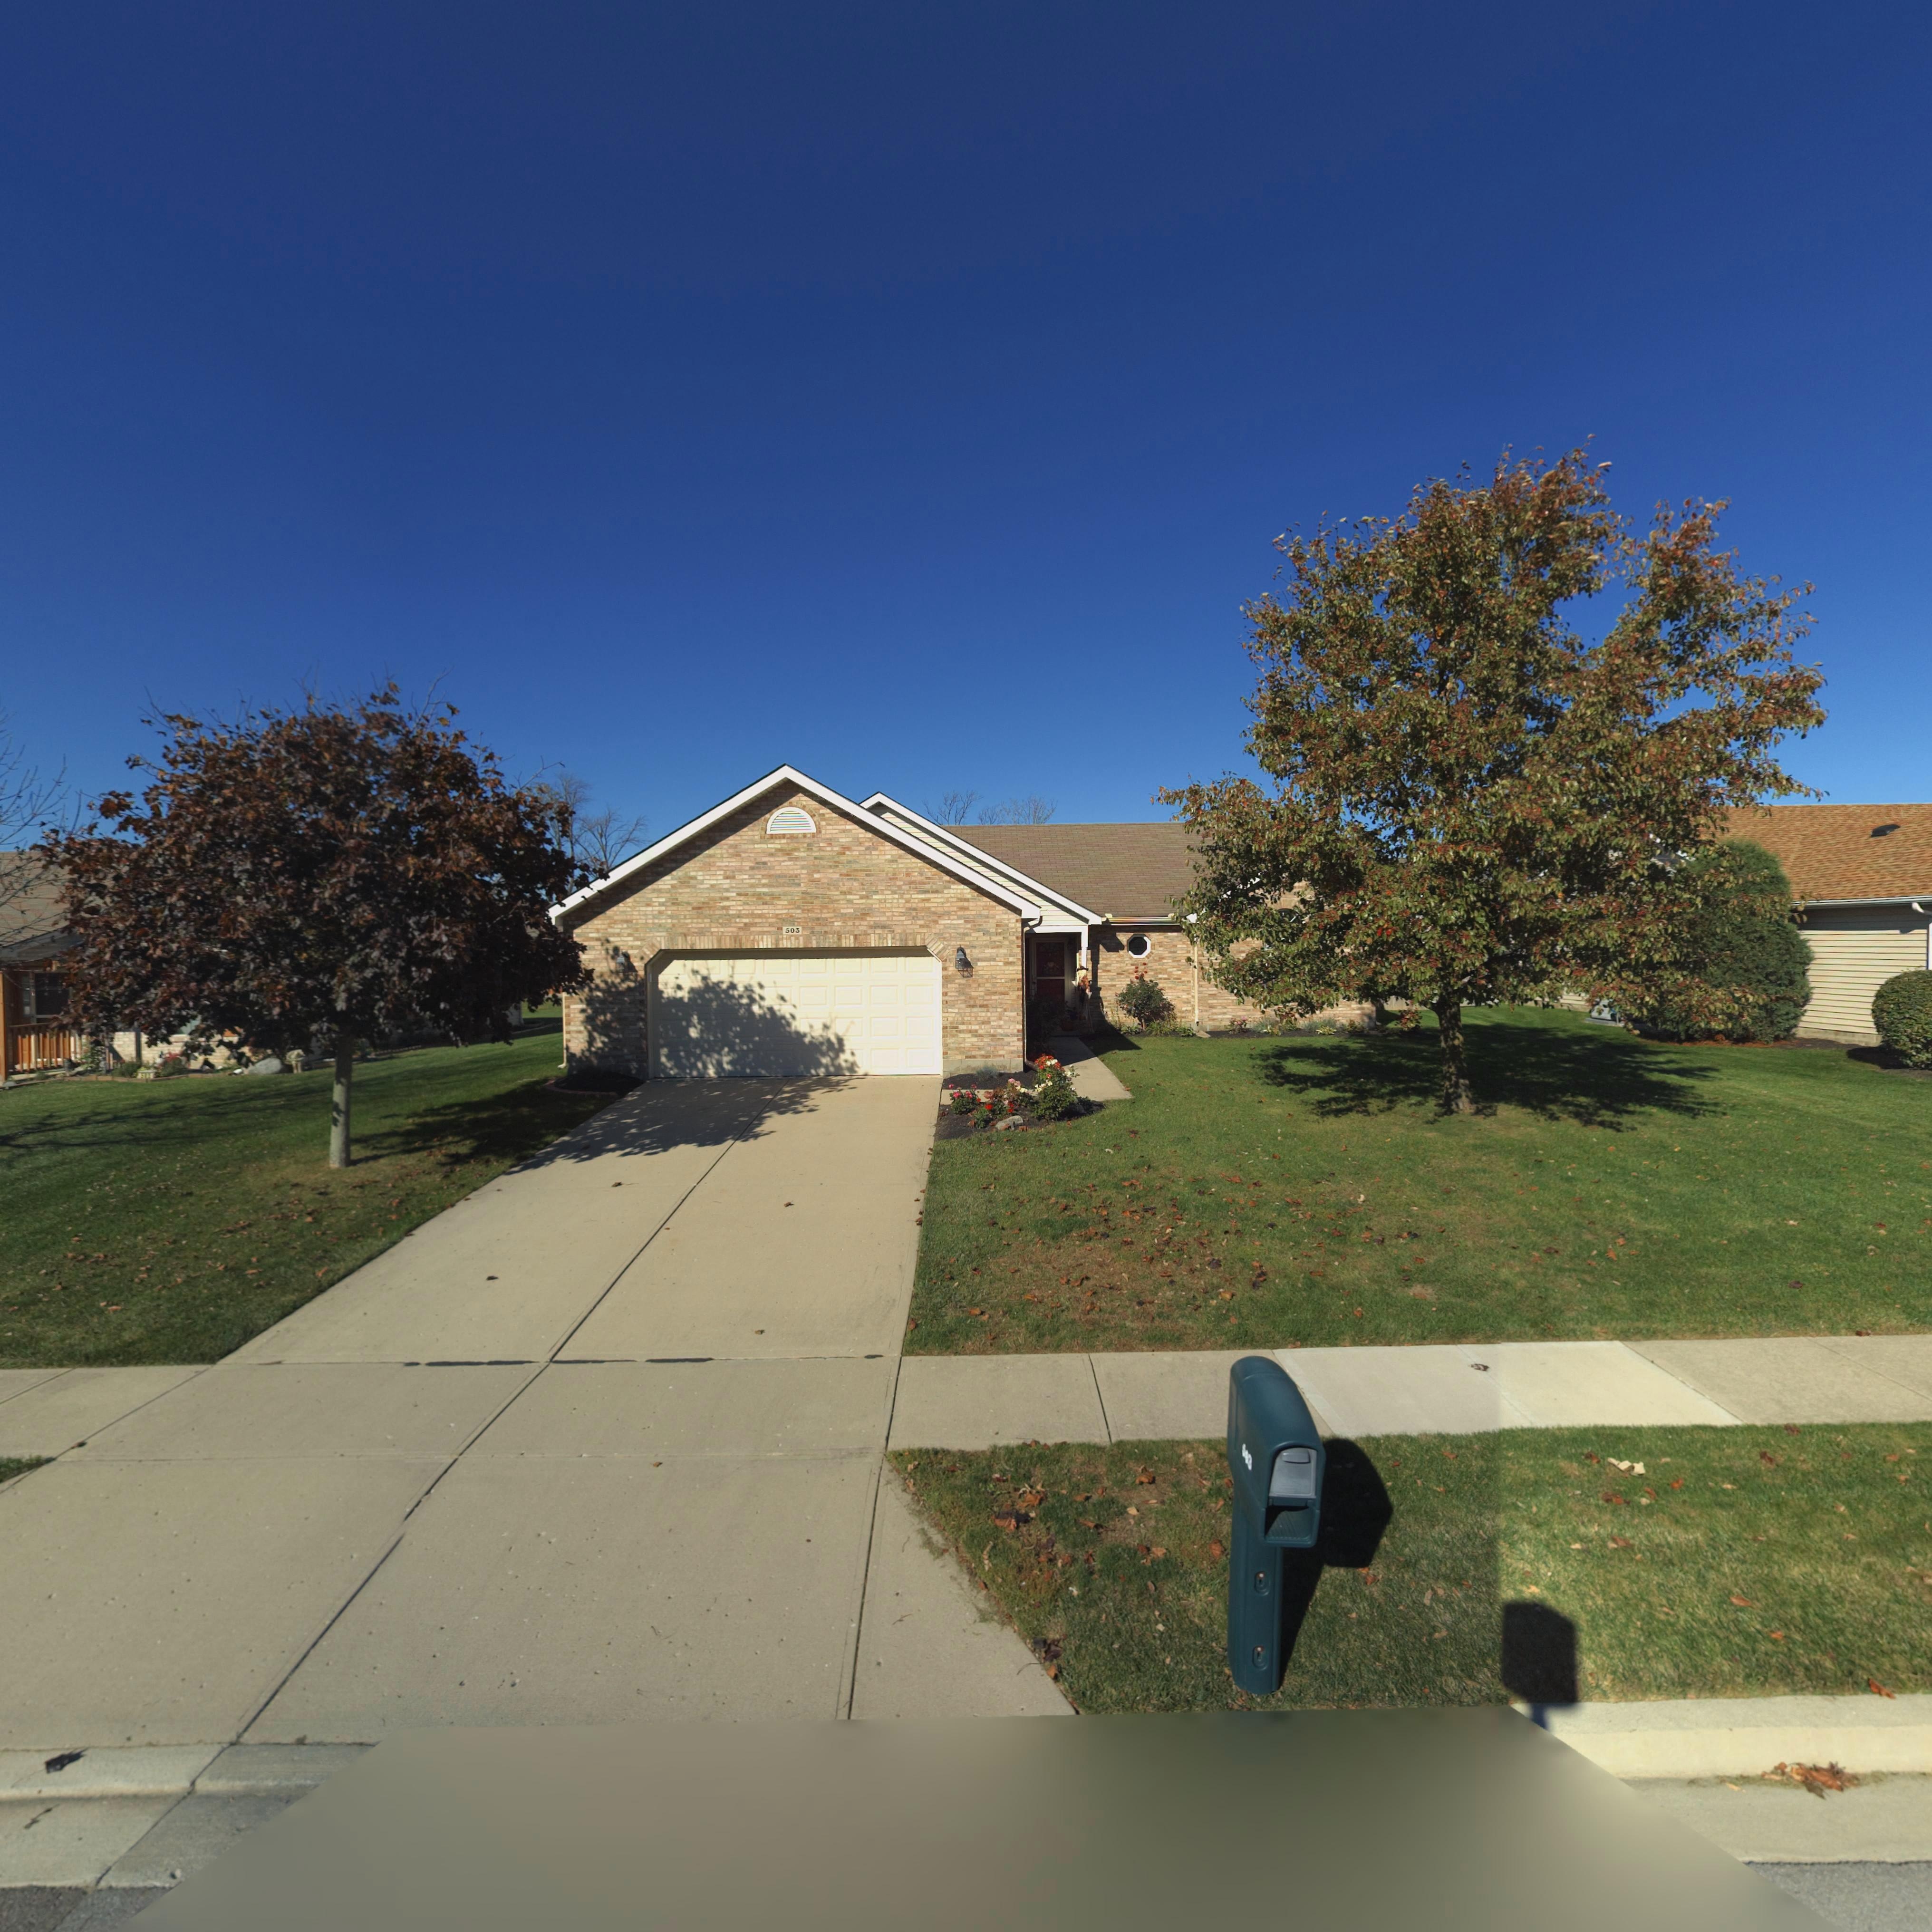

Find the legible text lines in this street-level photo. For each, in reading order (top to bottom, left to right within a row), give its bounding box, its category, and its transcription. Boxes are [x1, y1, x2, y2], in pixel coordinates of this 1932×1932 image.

[784, 927, 801, 934] StreetNumber: 503